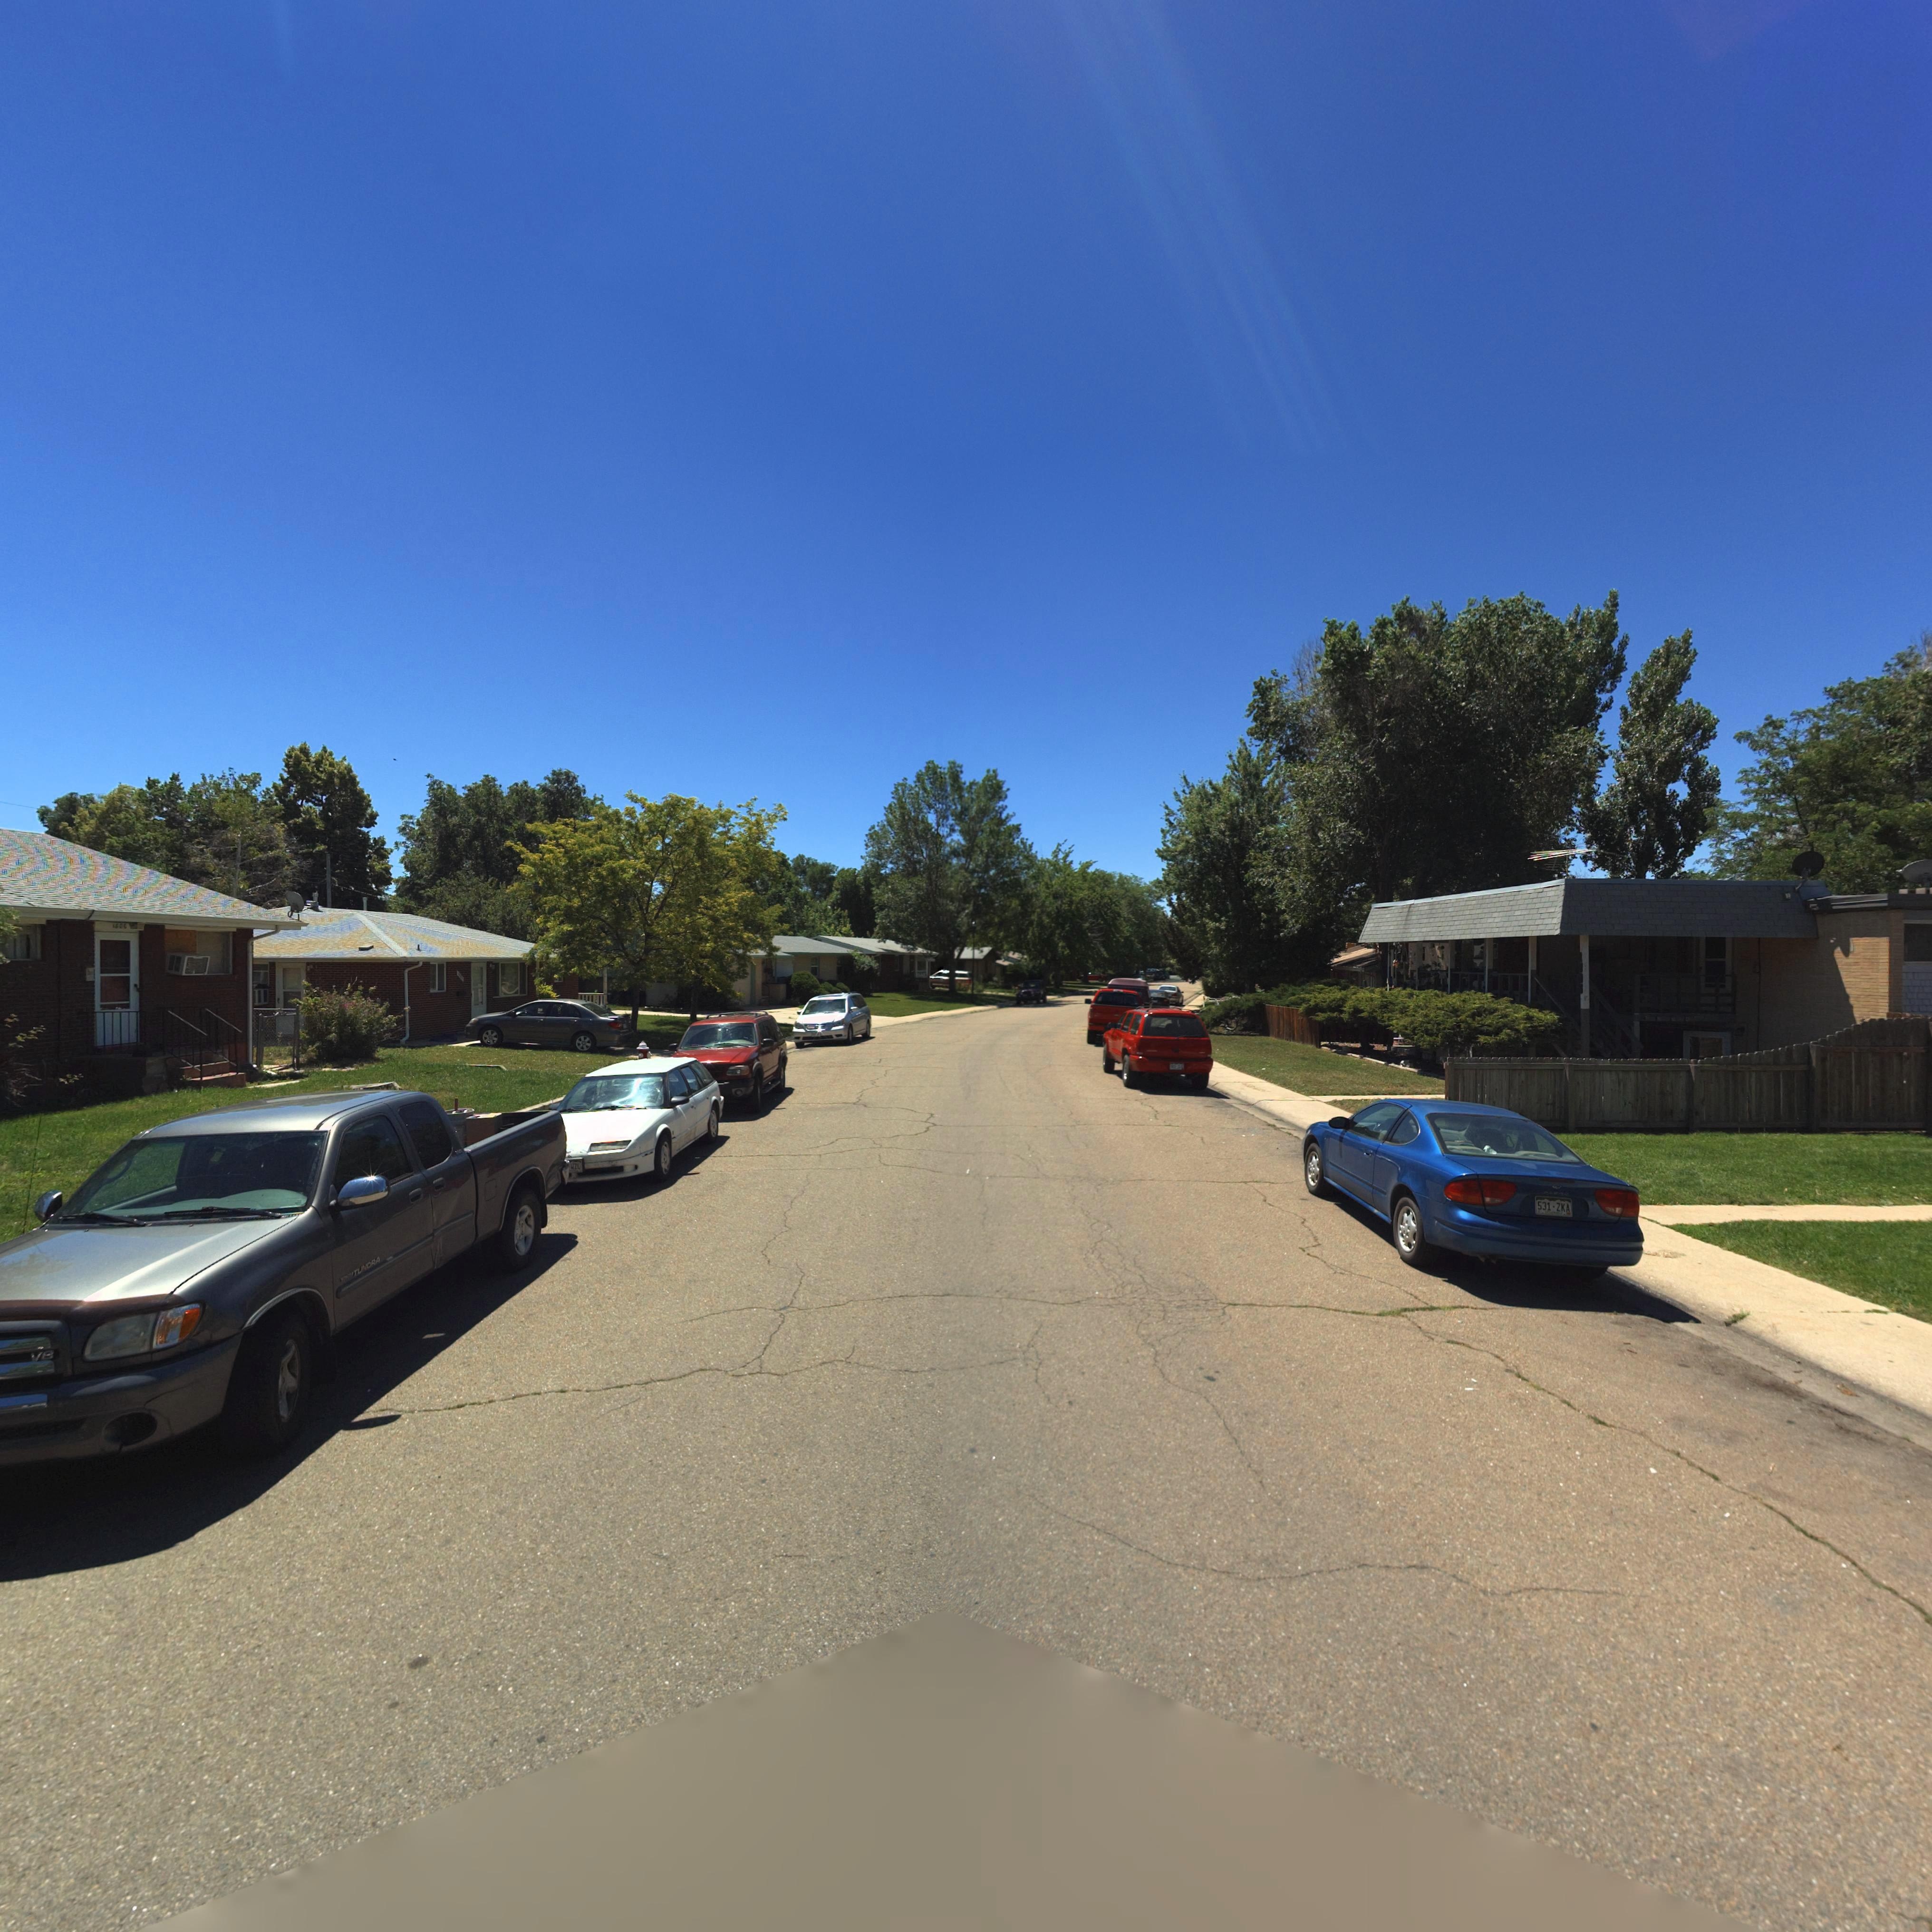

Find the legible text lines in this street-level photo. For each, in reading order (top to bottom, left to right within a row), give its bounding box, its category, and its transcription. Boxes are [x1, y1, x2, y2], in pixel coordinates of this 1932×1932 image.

[111, 922, 127, 929] StreetNumber: 15*6